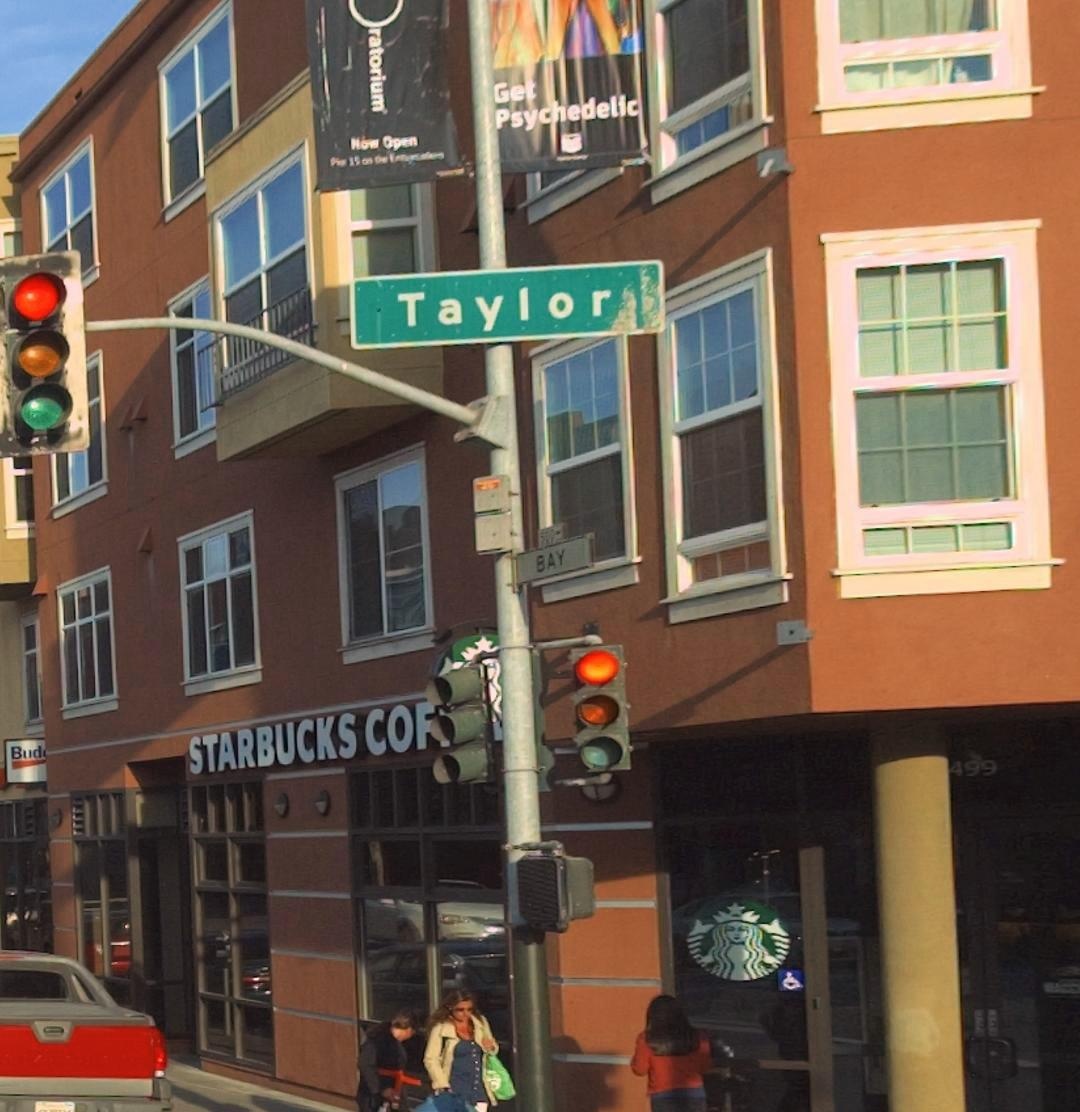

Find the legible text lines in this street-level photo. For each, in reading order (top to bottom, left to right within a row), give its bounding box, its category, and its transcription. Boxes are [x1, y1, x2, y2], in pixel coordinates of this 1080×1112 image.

[490, 73, 543, 108] None: Get
[492, 90, 645, 137] None: Psychedlic
[346, 131, 423, 155] None: Now Open
[393, 281, 618, 337] StreetName: Taylor
[537, 523, 565, 547] StreetNumberRange: 500->
[532, 543, 569, 578] StreetName: BAY
[9, 741, 46, 763] None: Bud
[185, 695, 438, 779] BusinessName: STARBUCKS COF
[944, 755, 1002, 781] StreetNumber: 499